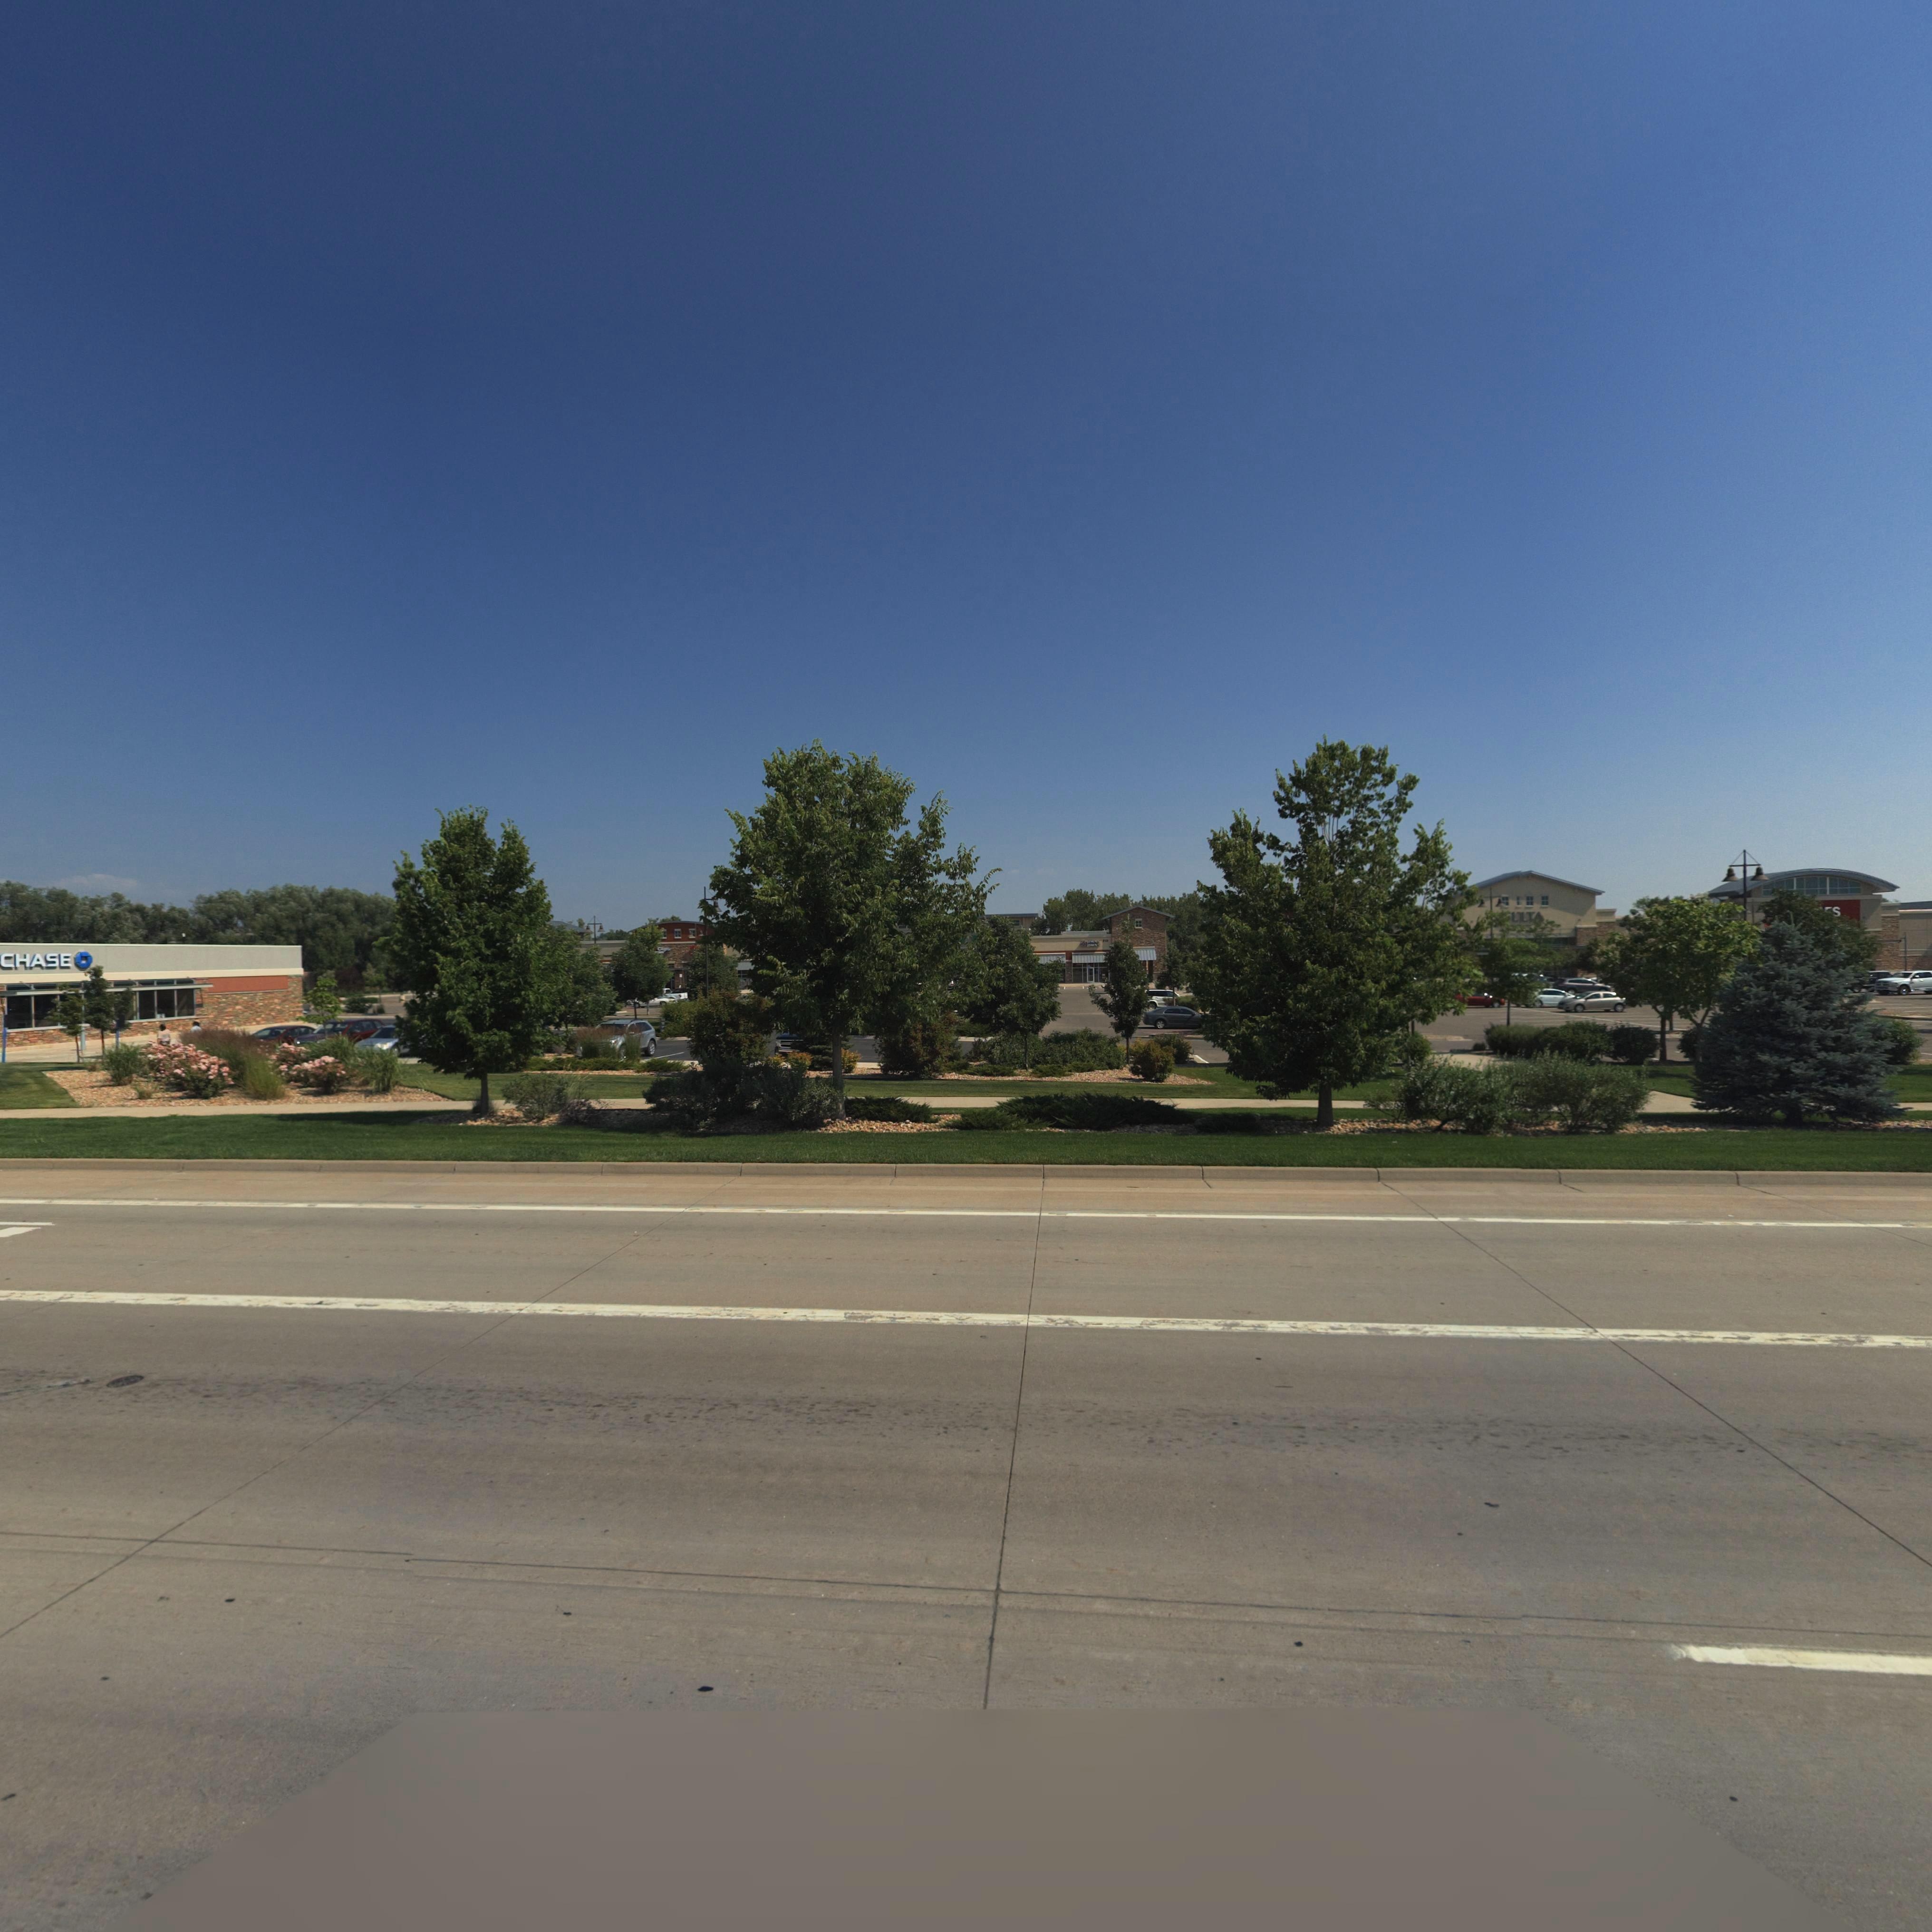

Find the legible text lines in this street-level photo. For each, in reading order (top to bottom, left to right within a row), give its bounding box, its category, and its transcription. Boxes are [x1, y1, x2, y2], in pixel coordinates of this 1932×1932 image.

[1510, 911, 1545, 922] BusinessName: ULTA
[1832, 906, 1841, 918] BusinessName: S
[0, 952, 71, 967] BusinessName: CHASE